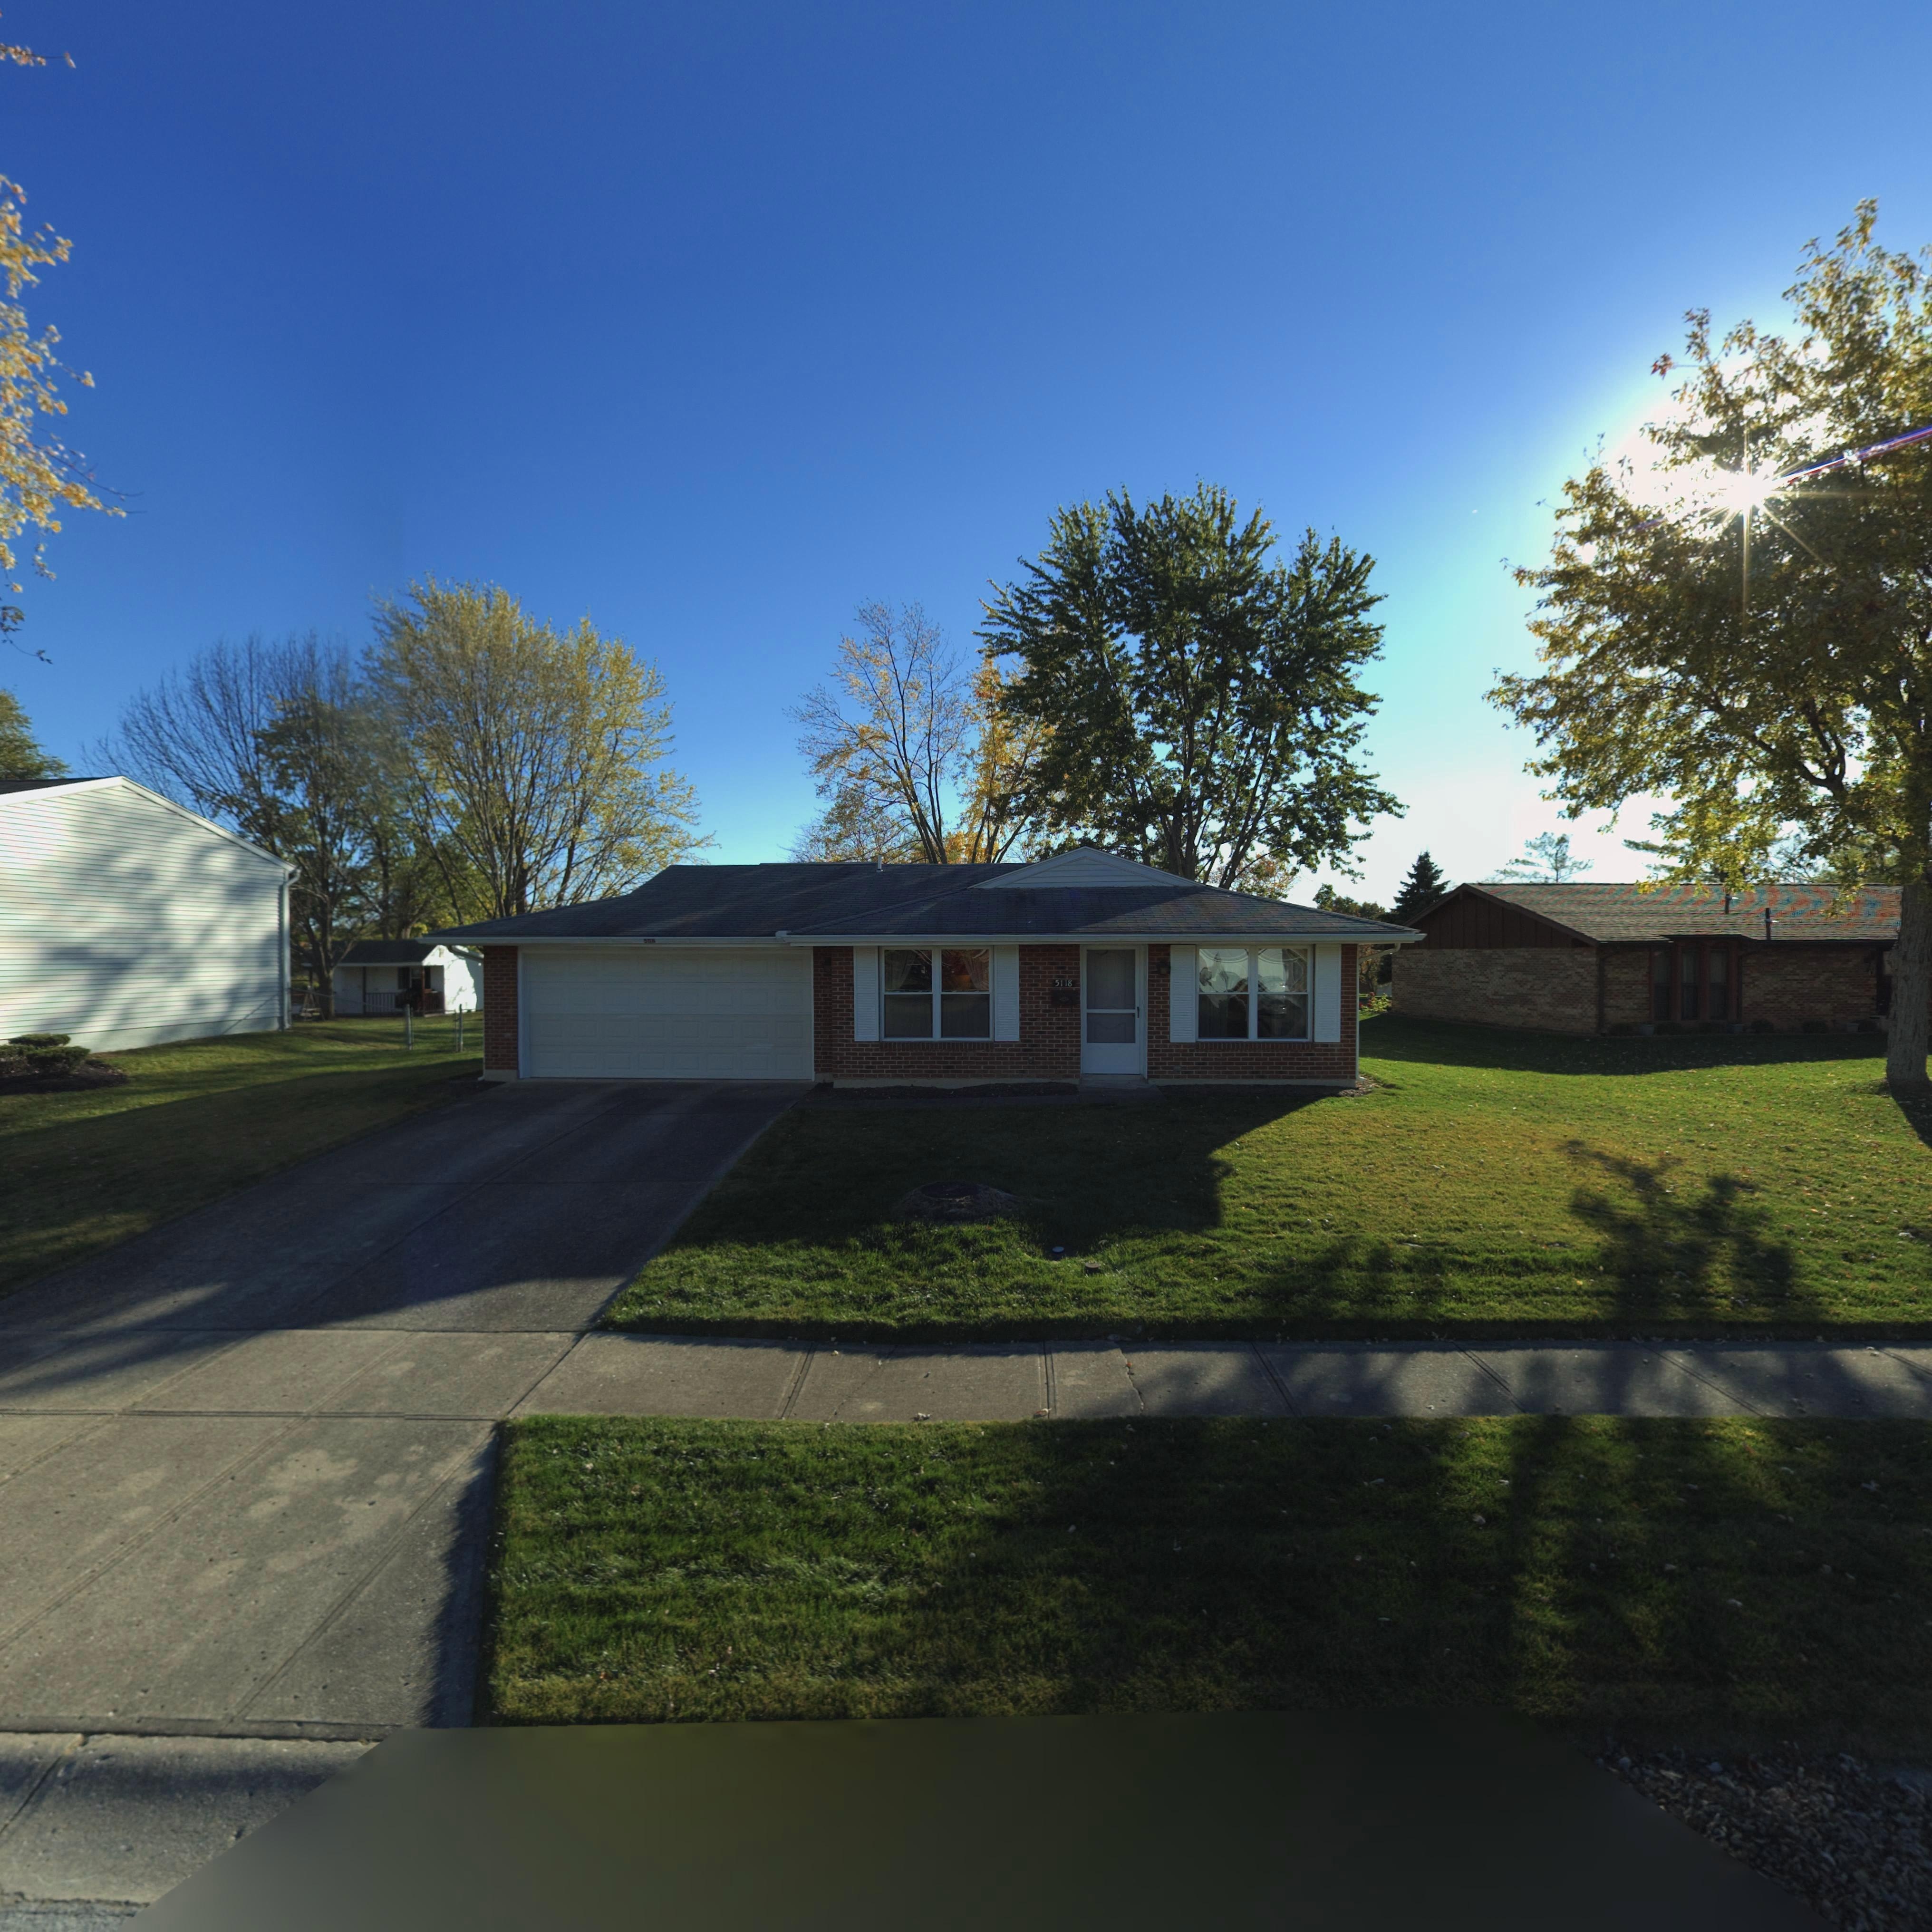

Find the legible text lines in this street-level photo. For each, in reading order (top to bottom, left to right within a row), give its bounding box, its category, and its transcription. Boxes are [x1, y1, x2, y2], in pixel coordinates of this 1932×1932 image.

[1055, 979, 1073, 987] StreetNumber: 5118